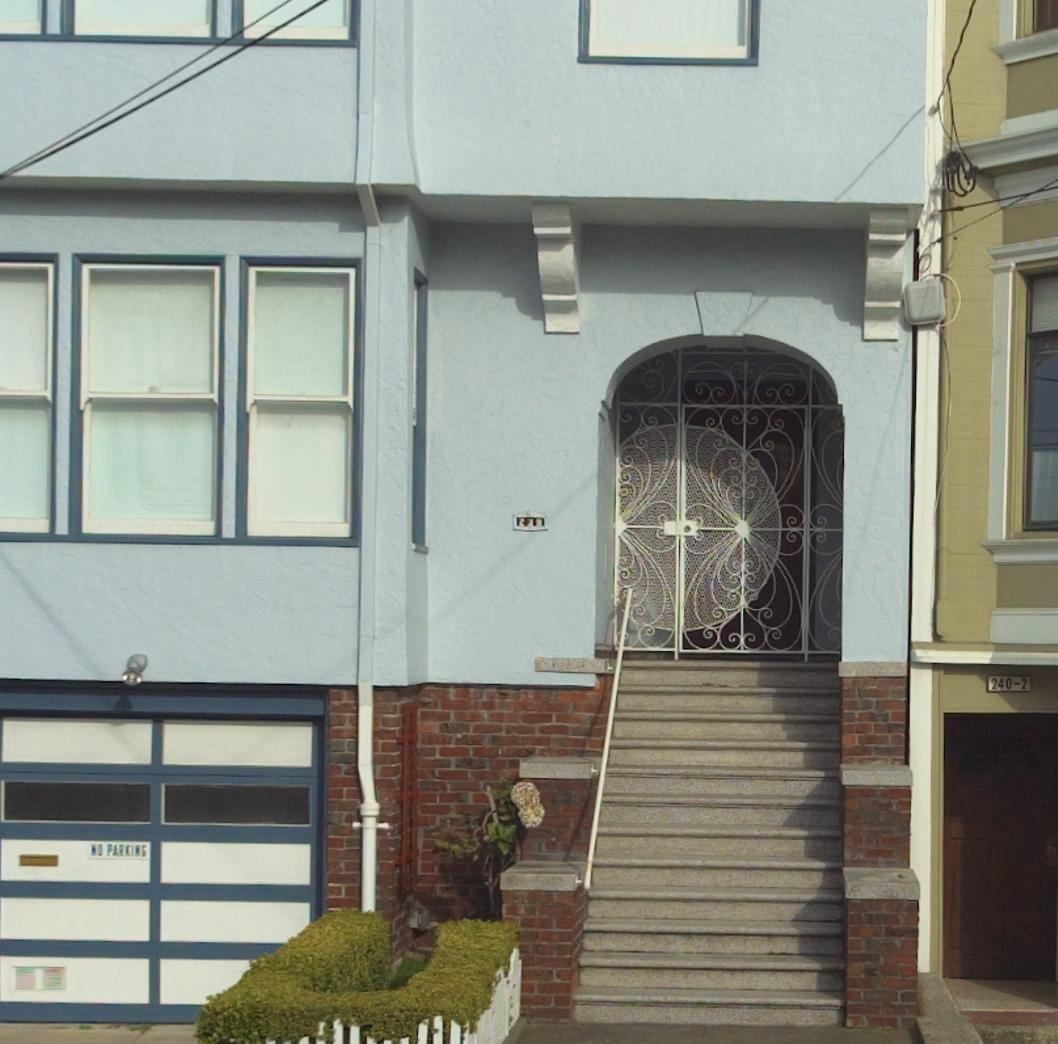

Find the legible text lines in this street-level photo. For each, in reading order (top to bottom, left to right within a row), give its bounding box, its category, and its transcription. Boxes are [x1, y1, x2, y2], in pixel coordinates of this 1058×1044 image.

[518, 518, 542, 527] StreetNumber: 23*
[990, 677, 1028, 690] StreetNumber: 240-2
[90, 843, 148, 858] None: NO PARKING